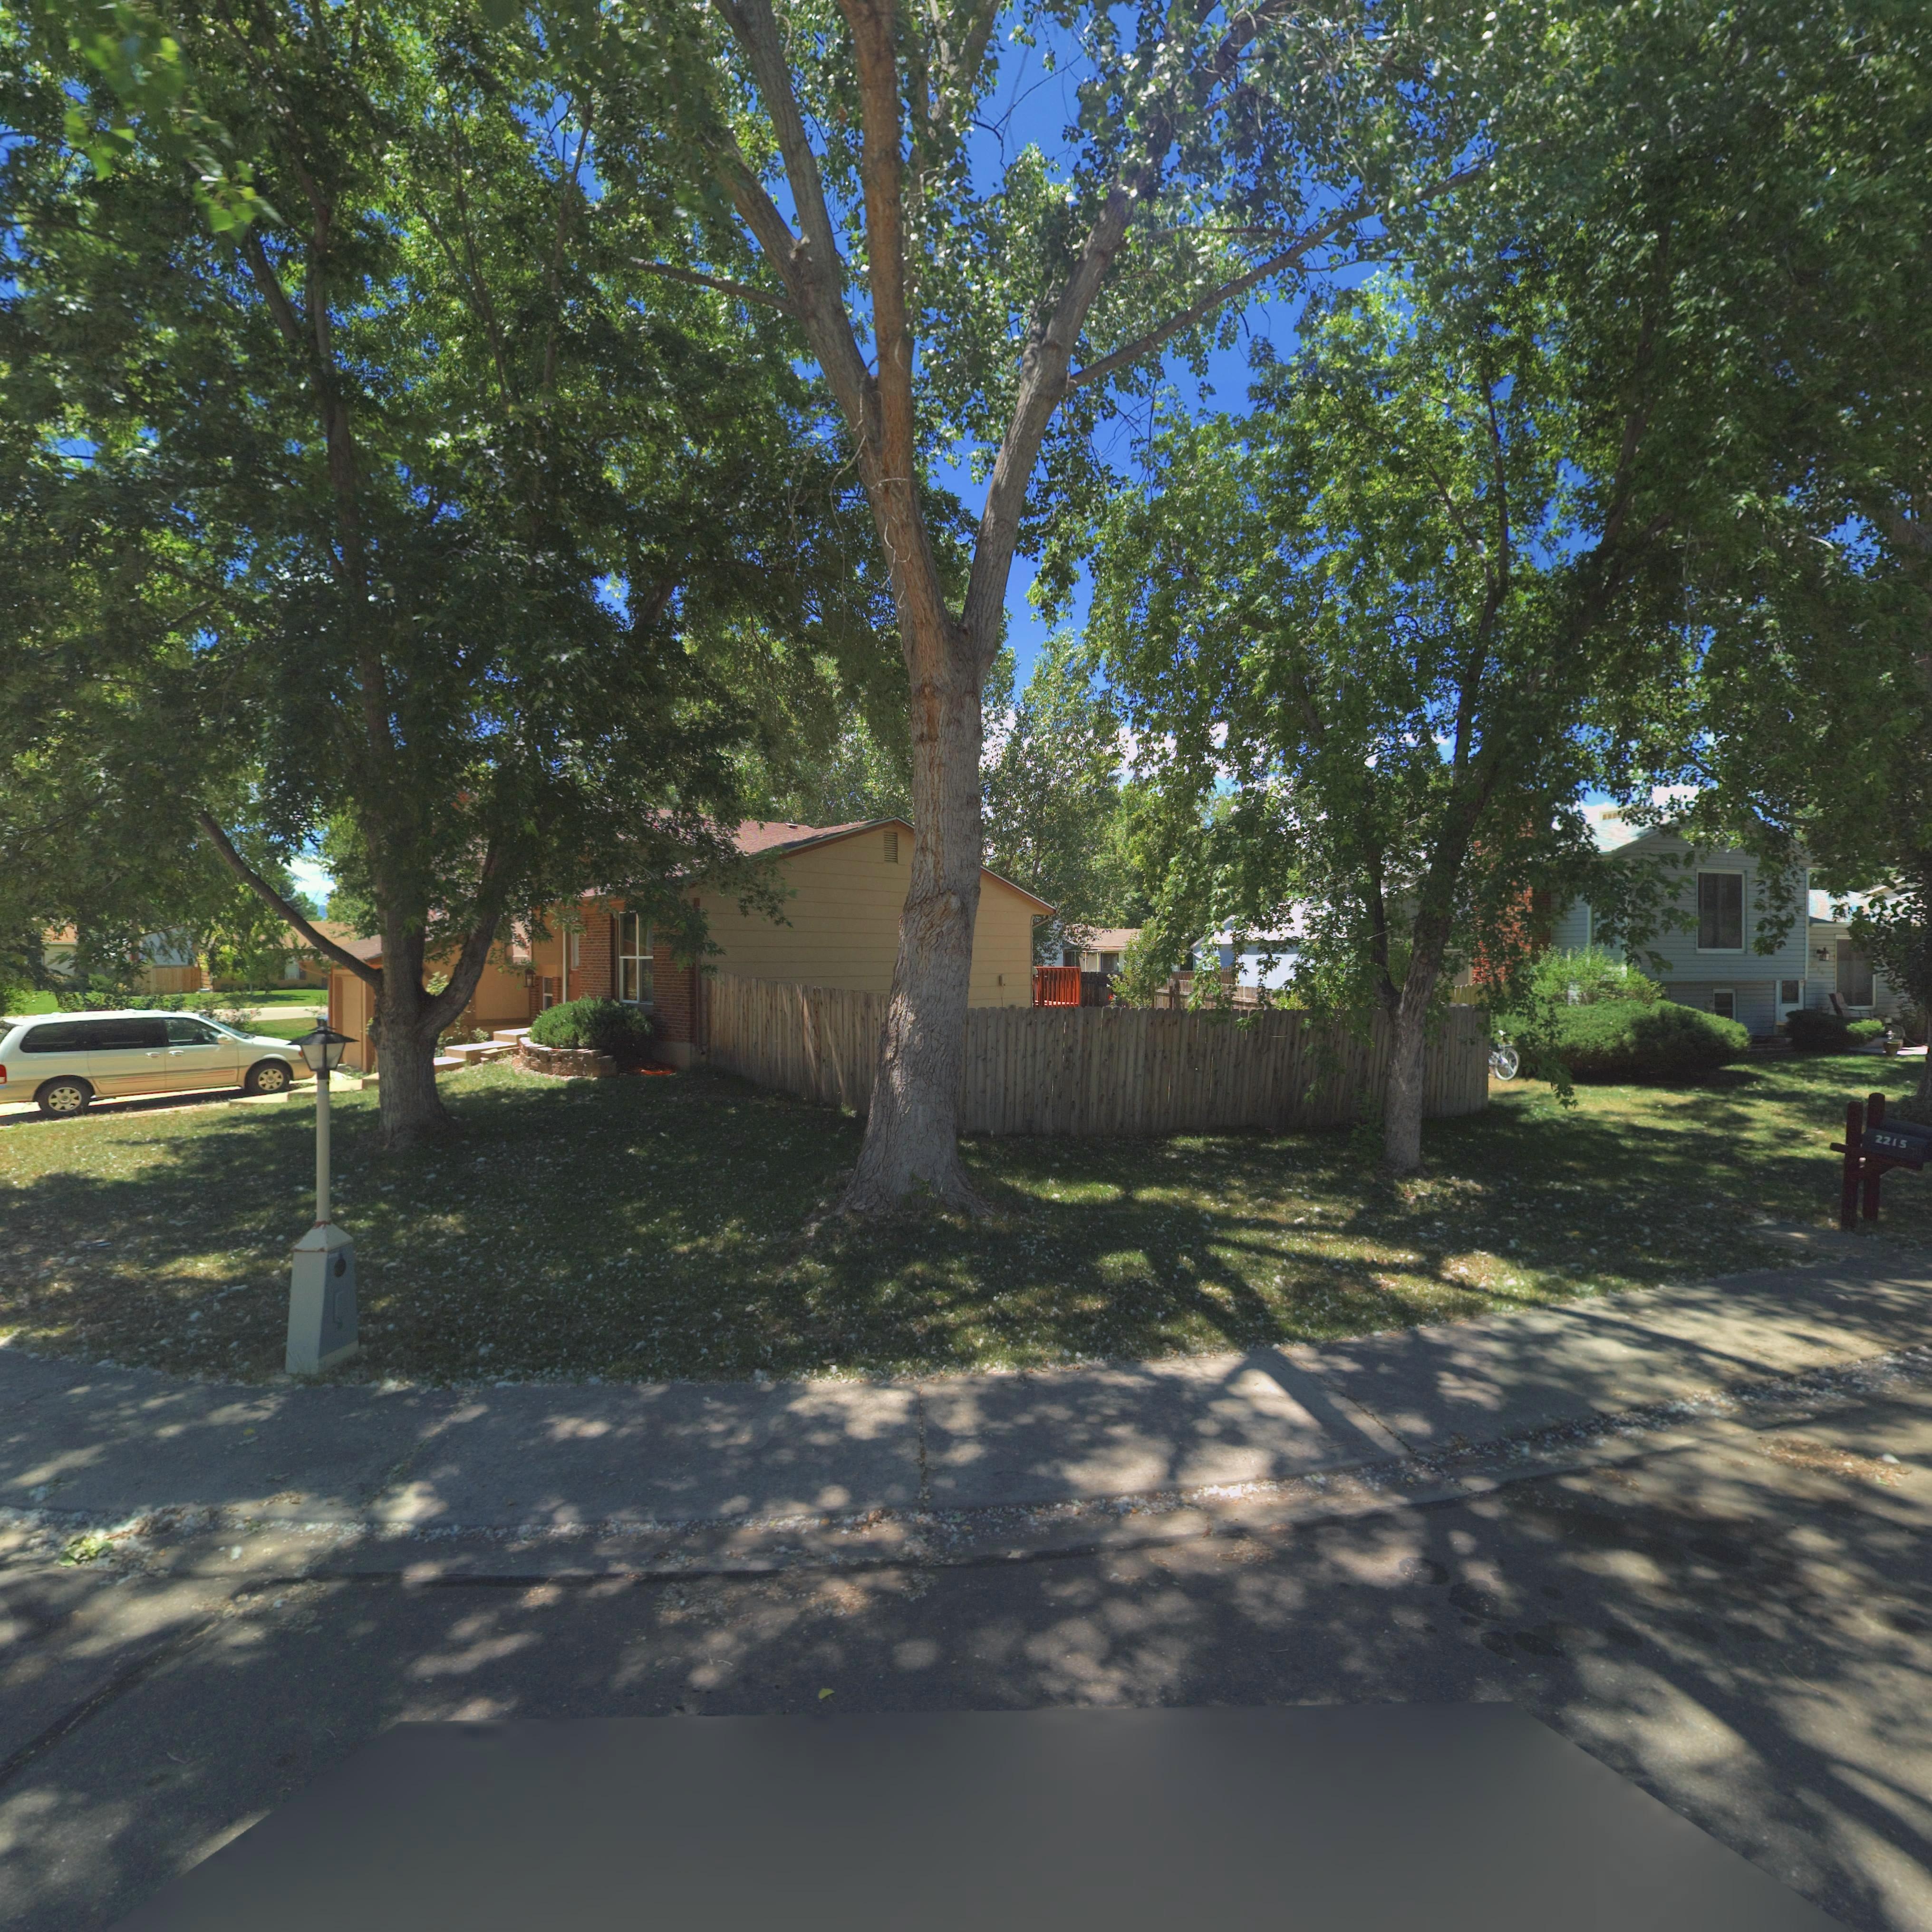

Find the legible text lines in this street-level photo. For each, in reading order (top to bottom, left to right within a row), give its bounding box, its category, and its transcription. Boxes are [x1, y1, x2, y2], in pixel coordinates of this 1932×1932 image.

[1874, 1134, 1908, 1149] StreetNumber: 2215